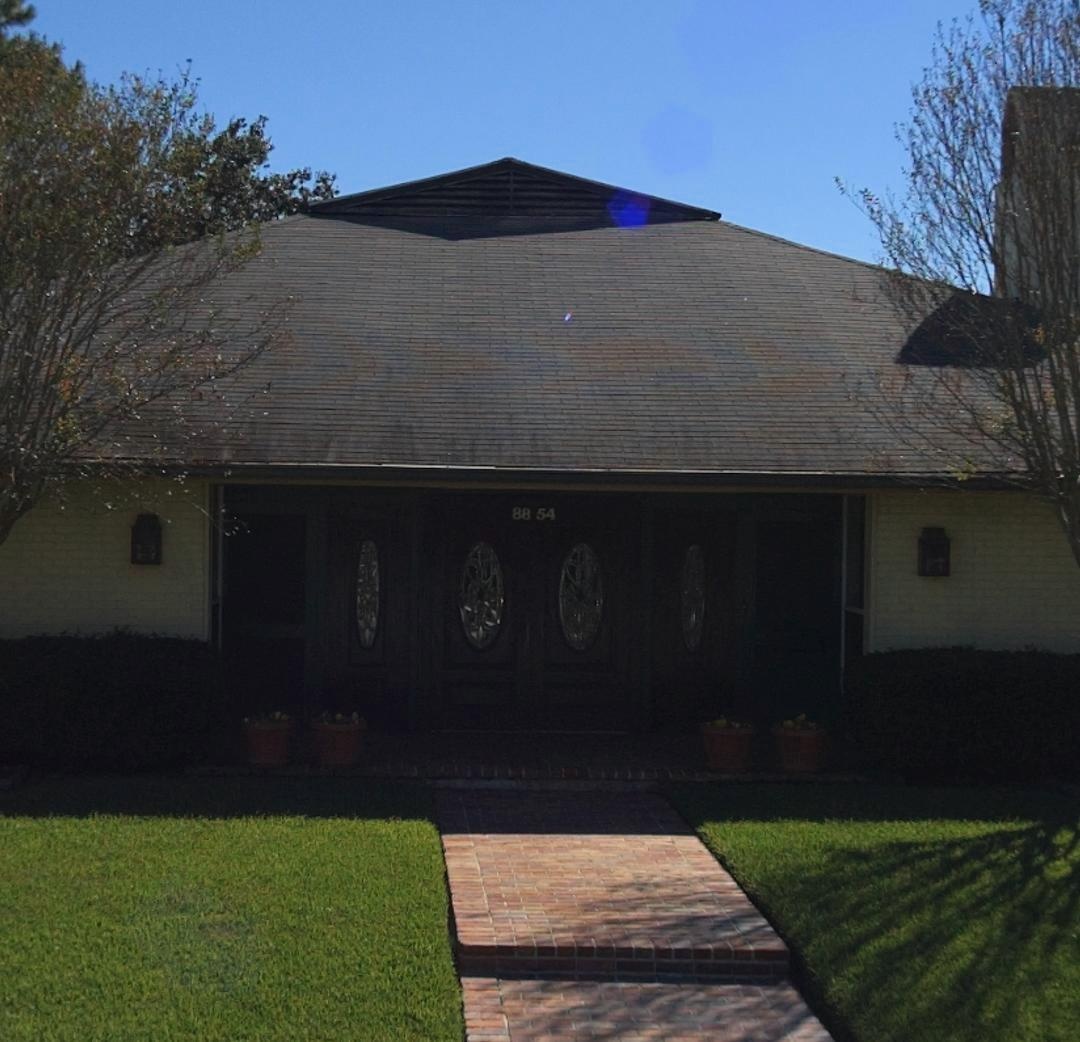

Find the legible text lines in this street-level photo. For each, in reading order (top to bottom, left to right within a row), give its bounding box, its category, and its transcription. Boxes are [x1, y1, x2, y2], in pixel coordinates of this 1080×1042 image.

[510, 505, 559, 522] StreetNumber: 8854